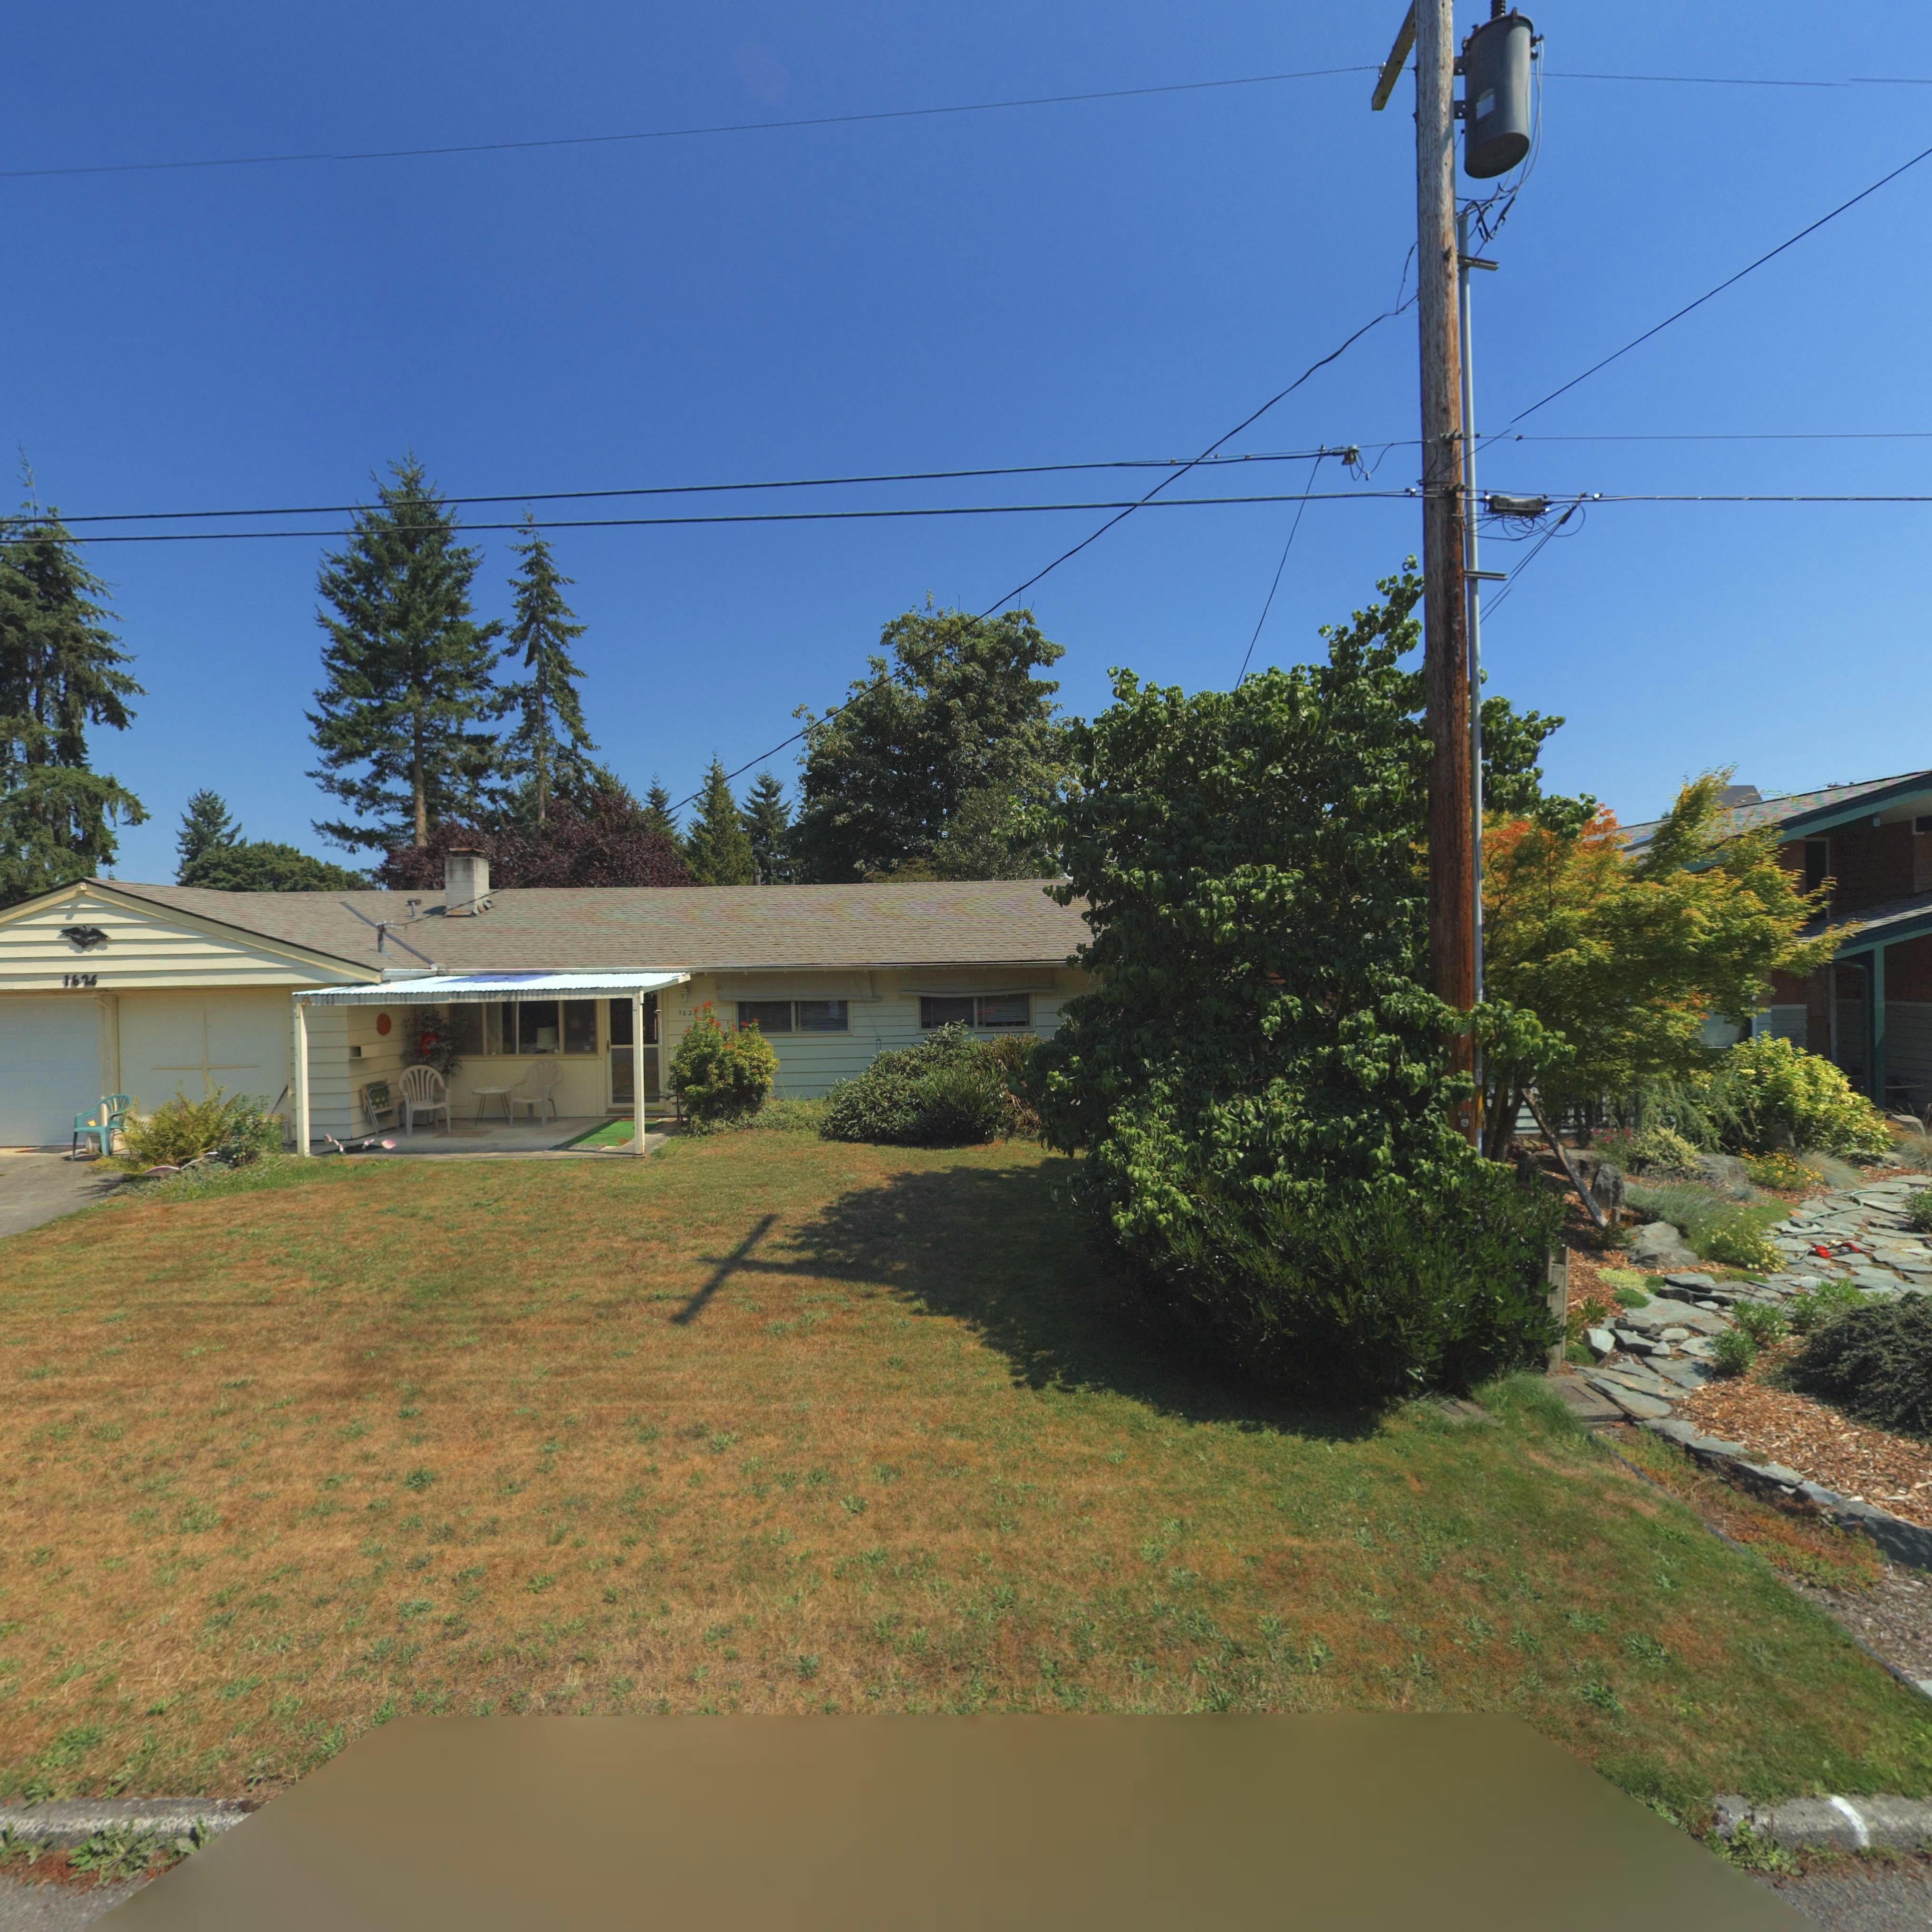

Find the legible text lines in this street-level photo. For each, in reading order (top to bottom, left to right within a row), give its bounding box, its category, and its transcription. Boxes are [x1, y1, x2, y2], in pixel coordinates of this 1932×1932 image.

[64, 974, 98, 986] StreetNumber: 1626